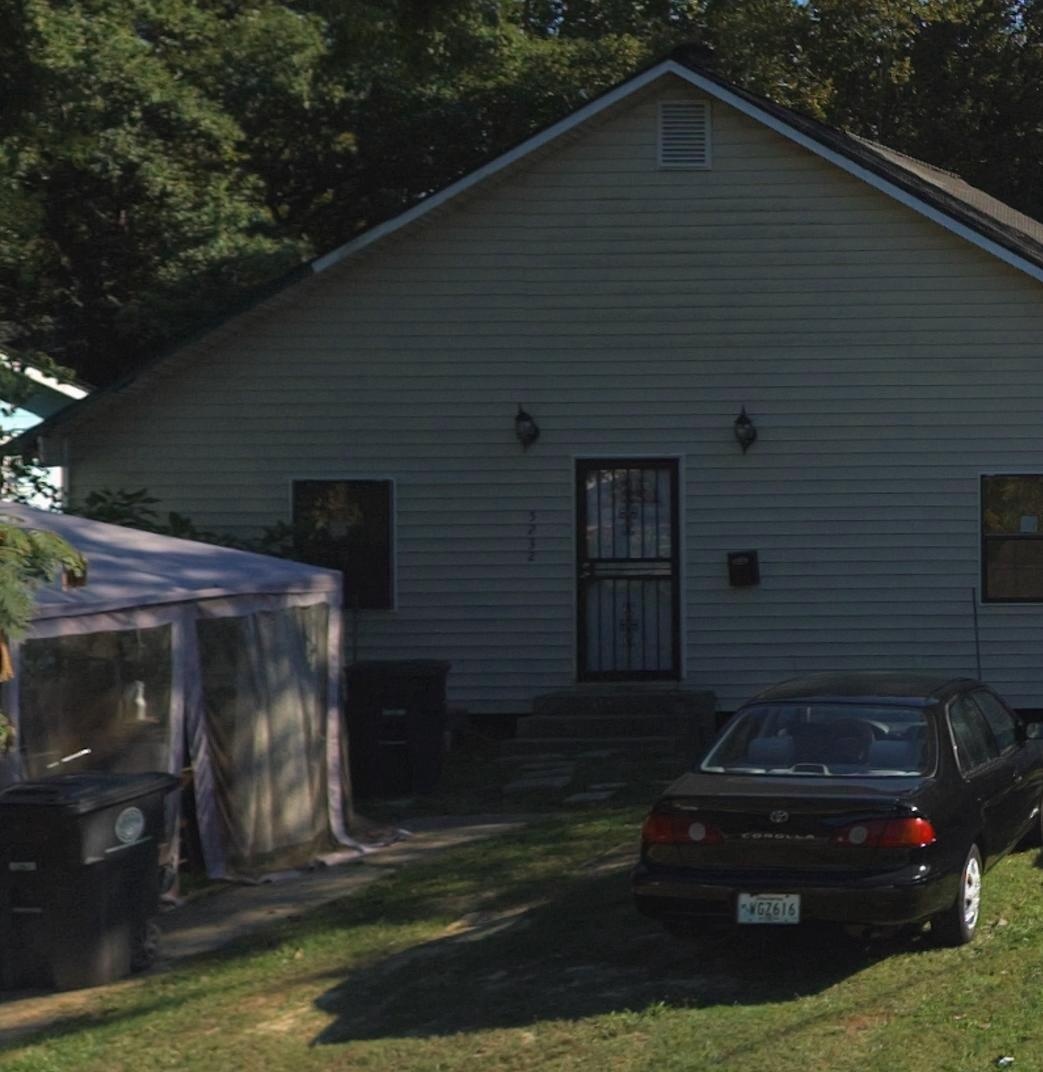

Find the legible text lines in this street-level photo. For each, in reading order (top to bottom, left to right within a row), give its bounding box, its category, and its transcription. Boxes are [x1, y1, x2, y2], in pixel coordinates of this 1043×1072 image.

[526, 509, 538, 564] StreetNumber: 5232
[740, 831, 815, 840] None: CORALLA
[748, 901, 796, 916] None: WGZ616